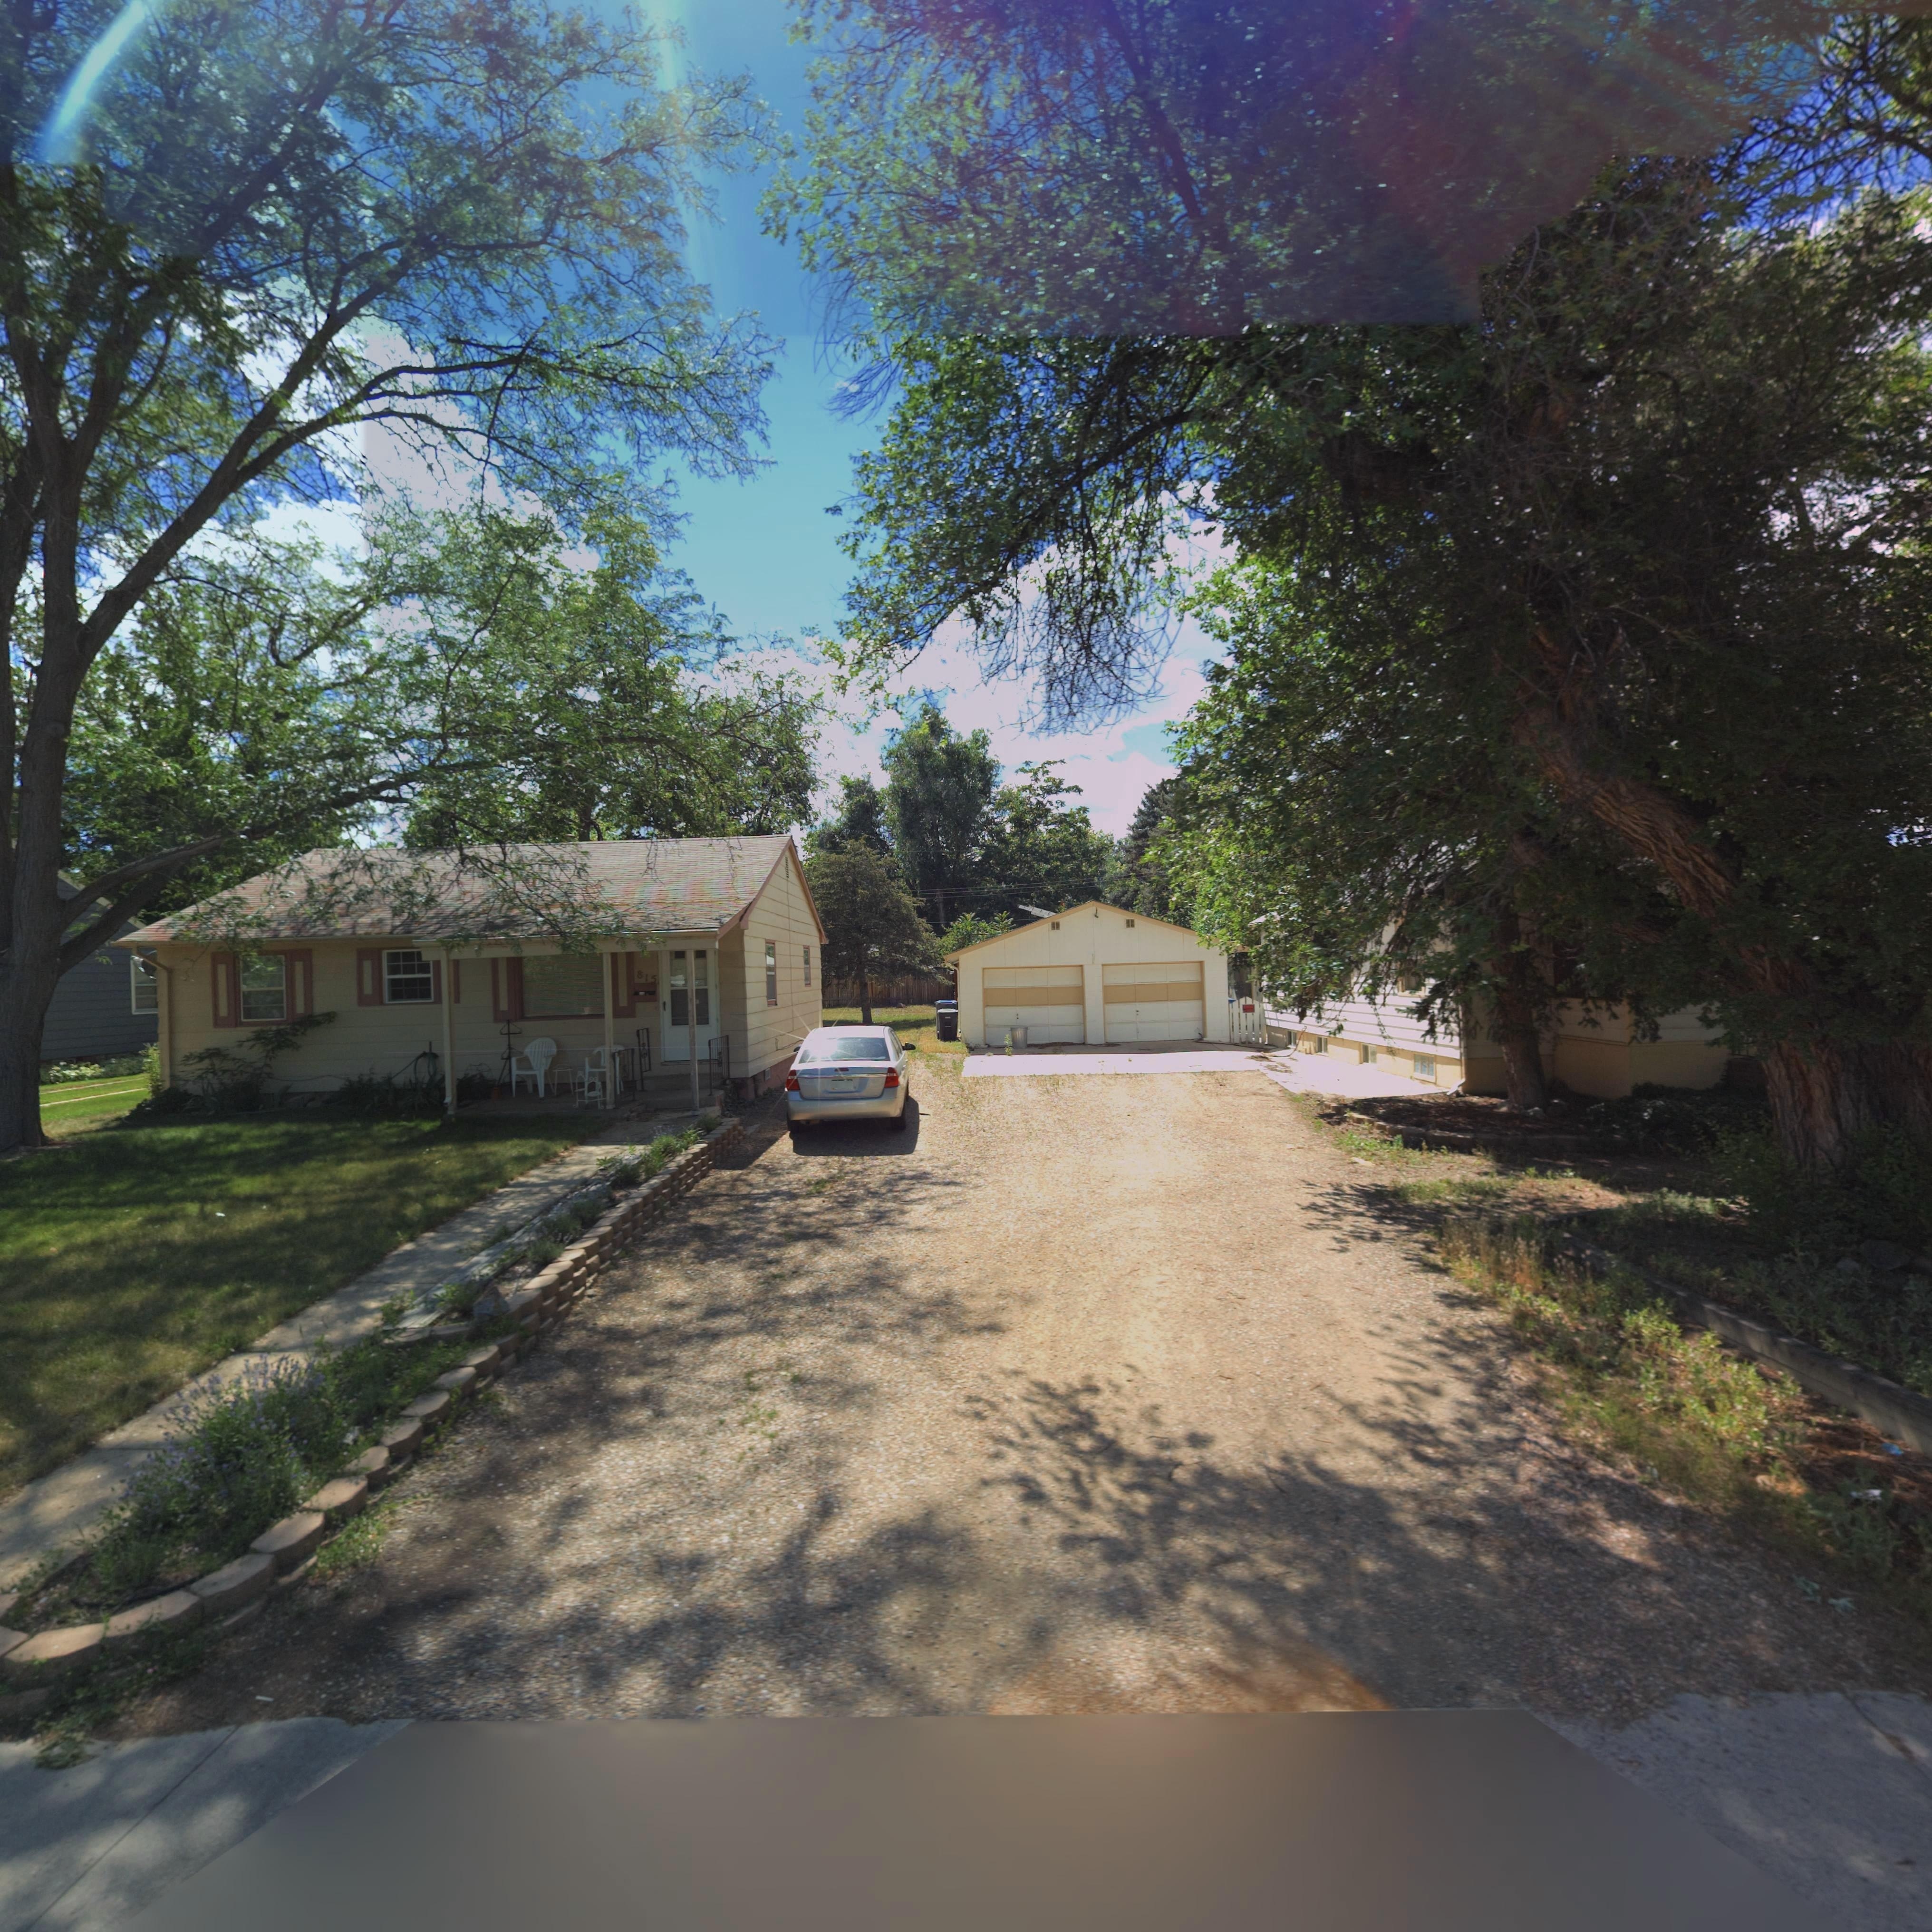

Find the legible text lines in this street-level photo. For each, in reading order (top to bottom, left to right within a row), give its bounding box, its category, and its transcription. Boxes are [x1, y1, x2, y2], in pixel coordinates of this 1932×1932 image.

[636, 969, 657, 983] StreetNumber: 815